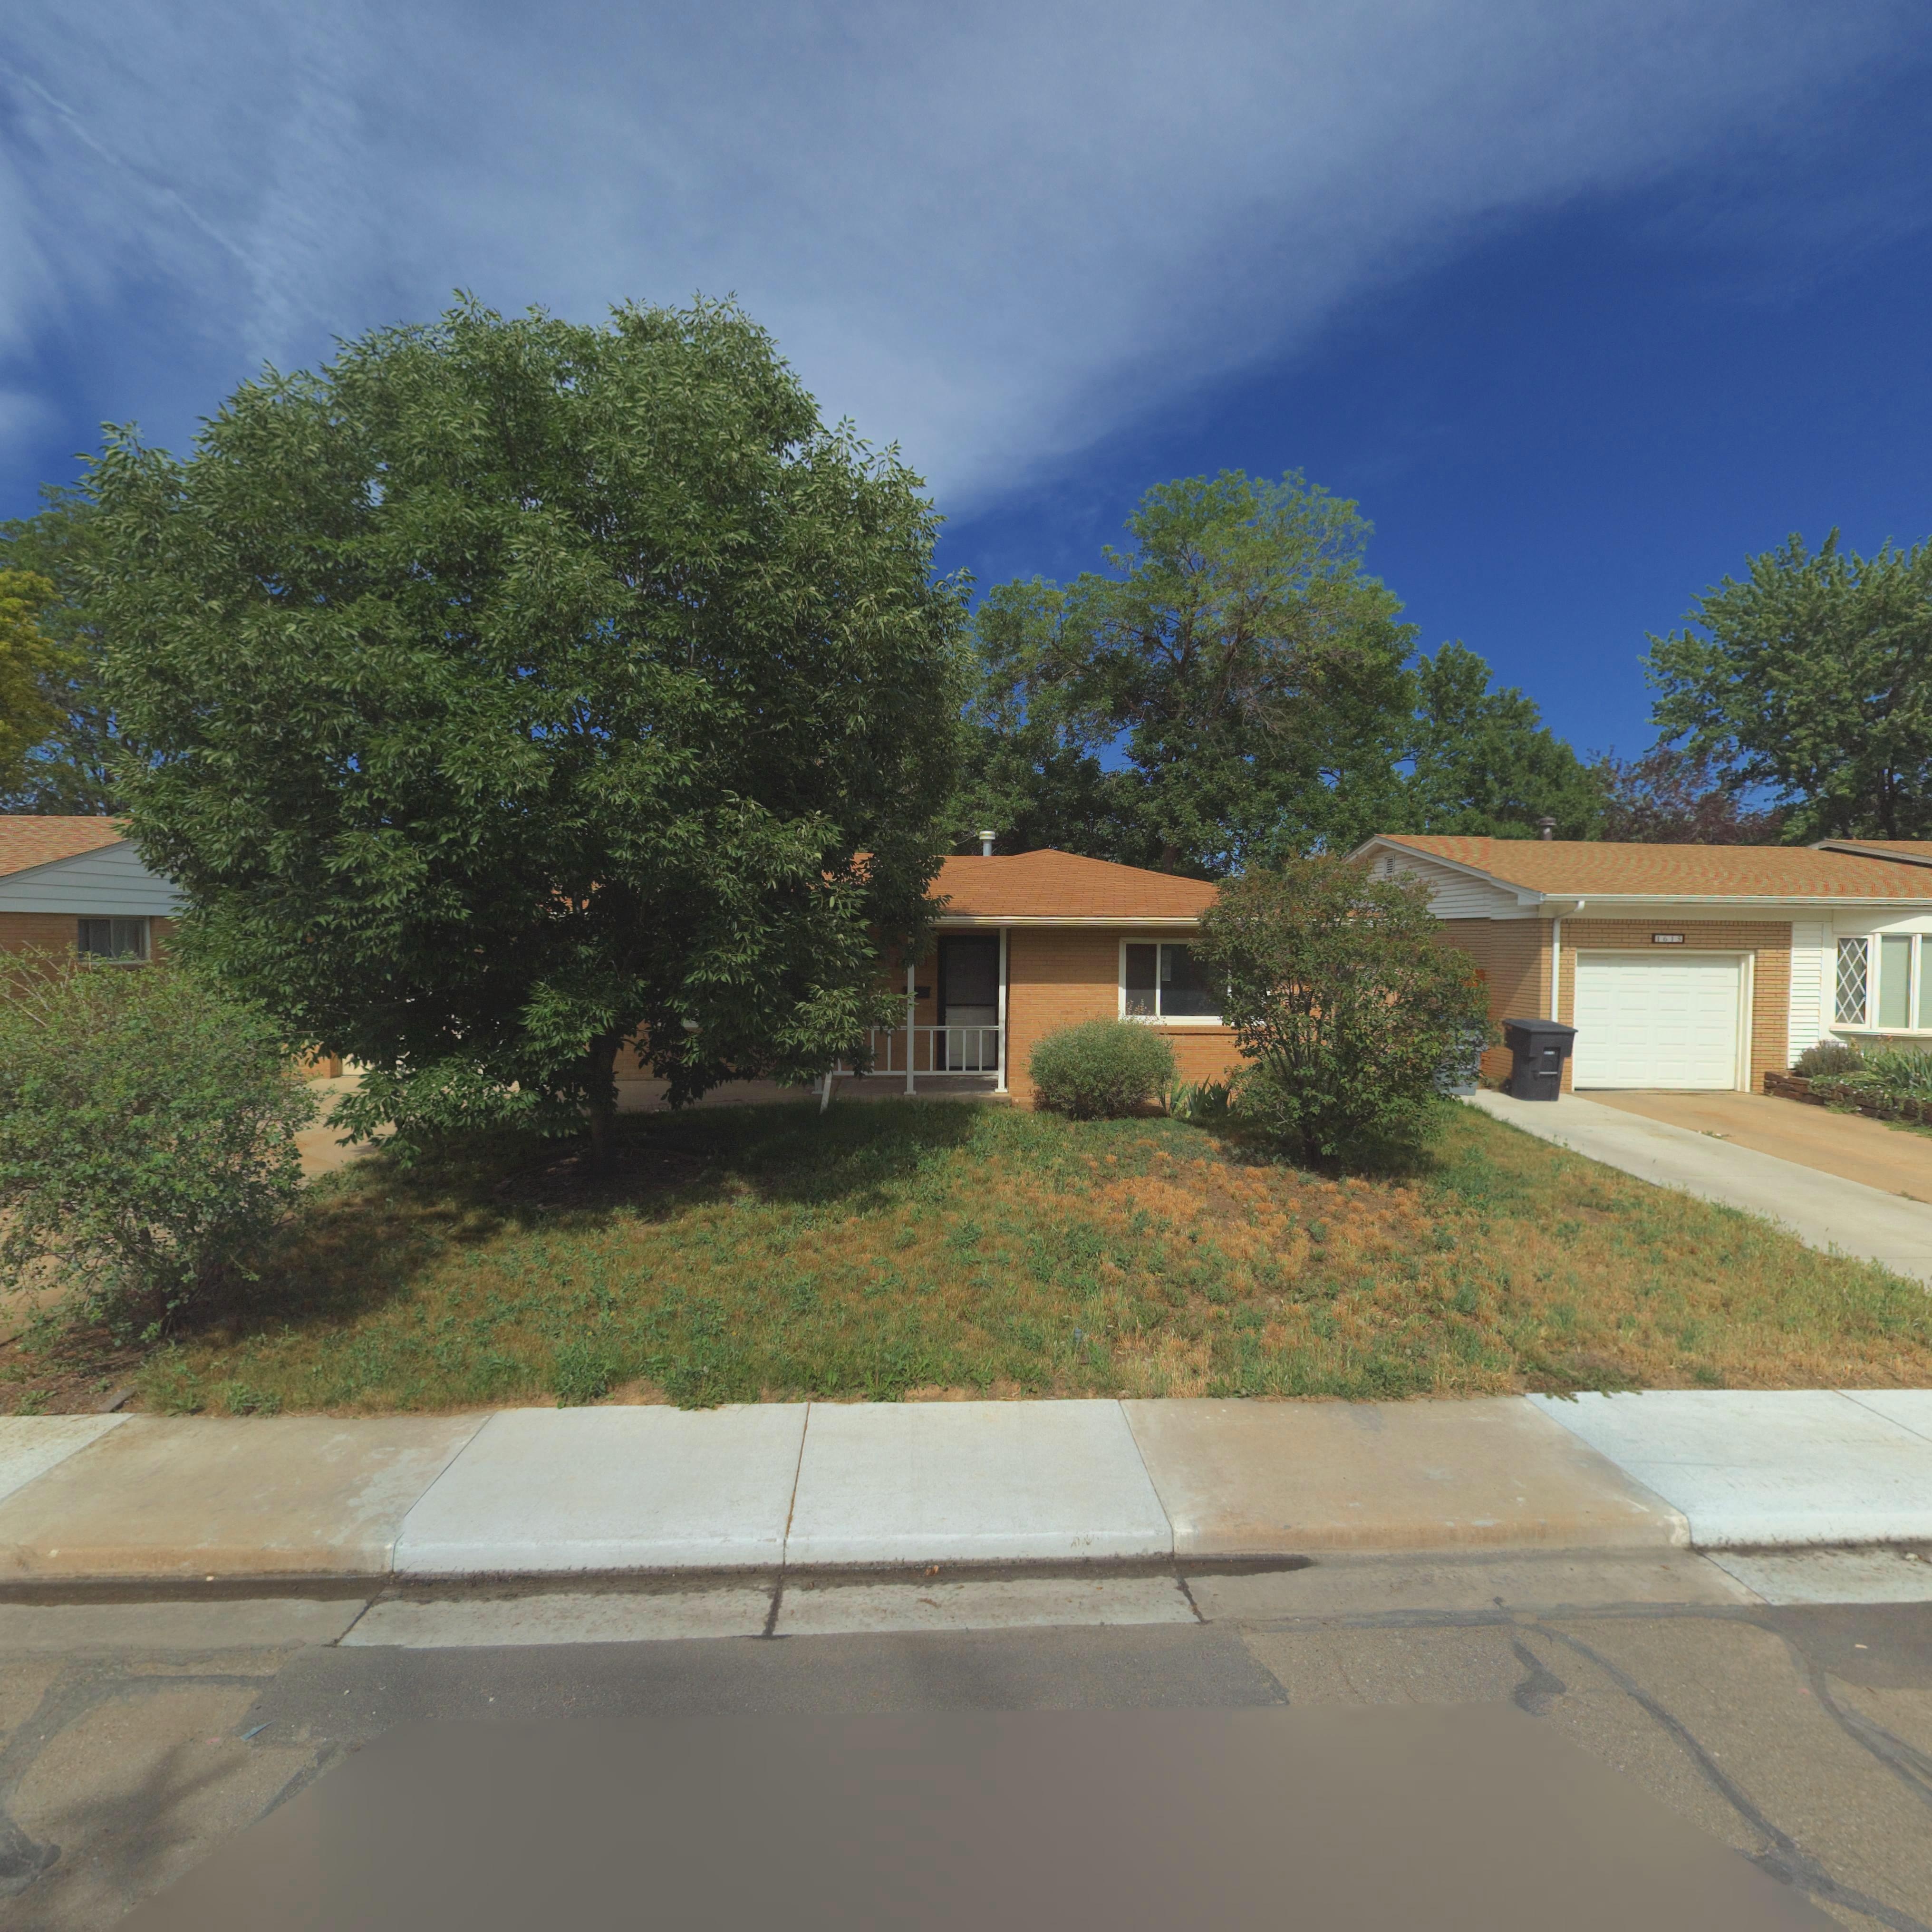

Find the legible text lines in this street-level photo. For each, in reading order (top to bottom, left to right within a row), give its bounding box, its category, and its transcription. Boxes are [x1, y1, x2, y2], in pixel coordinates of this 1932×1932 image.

[1657, 935, 1681, 942] StreetNumber: 1615